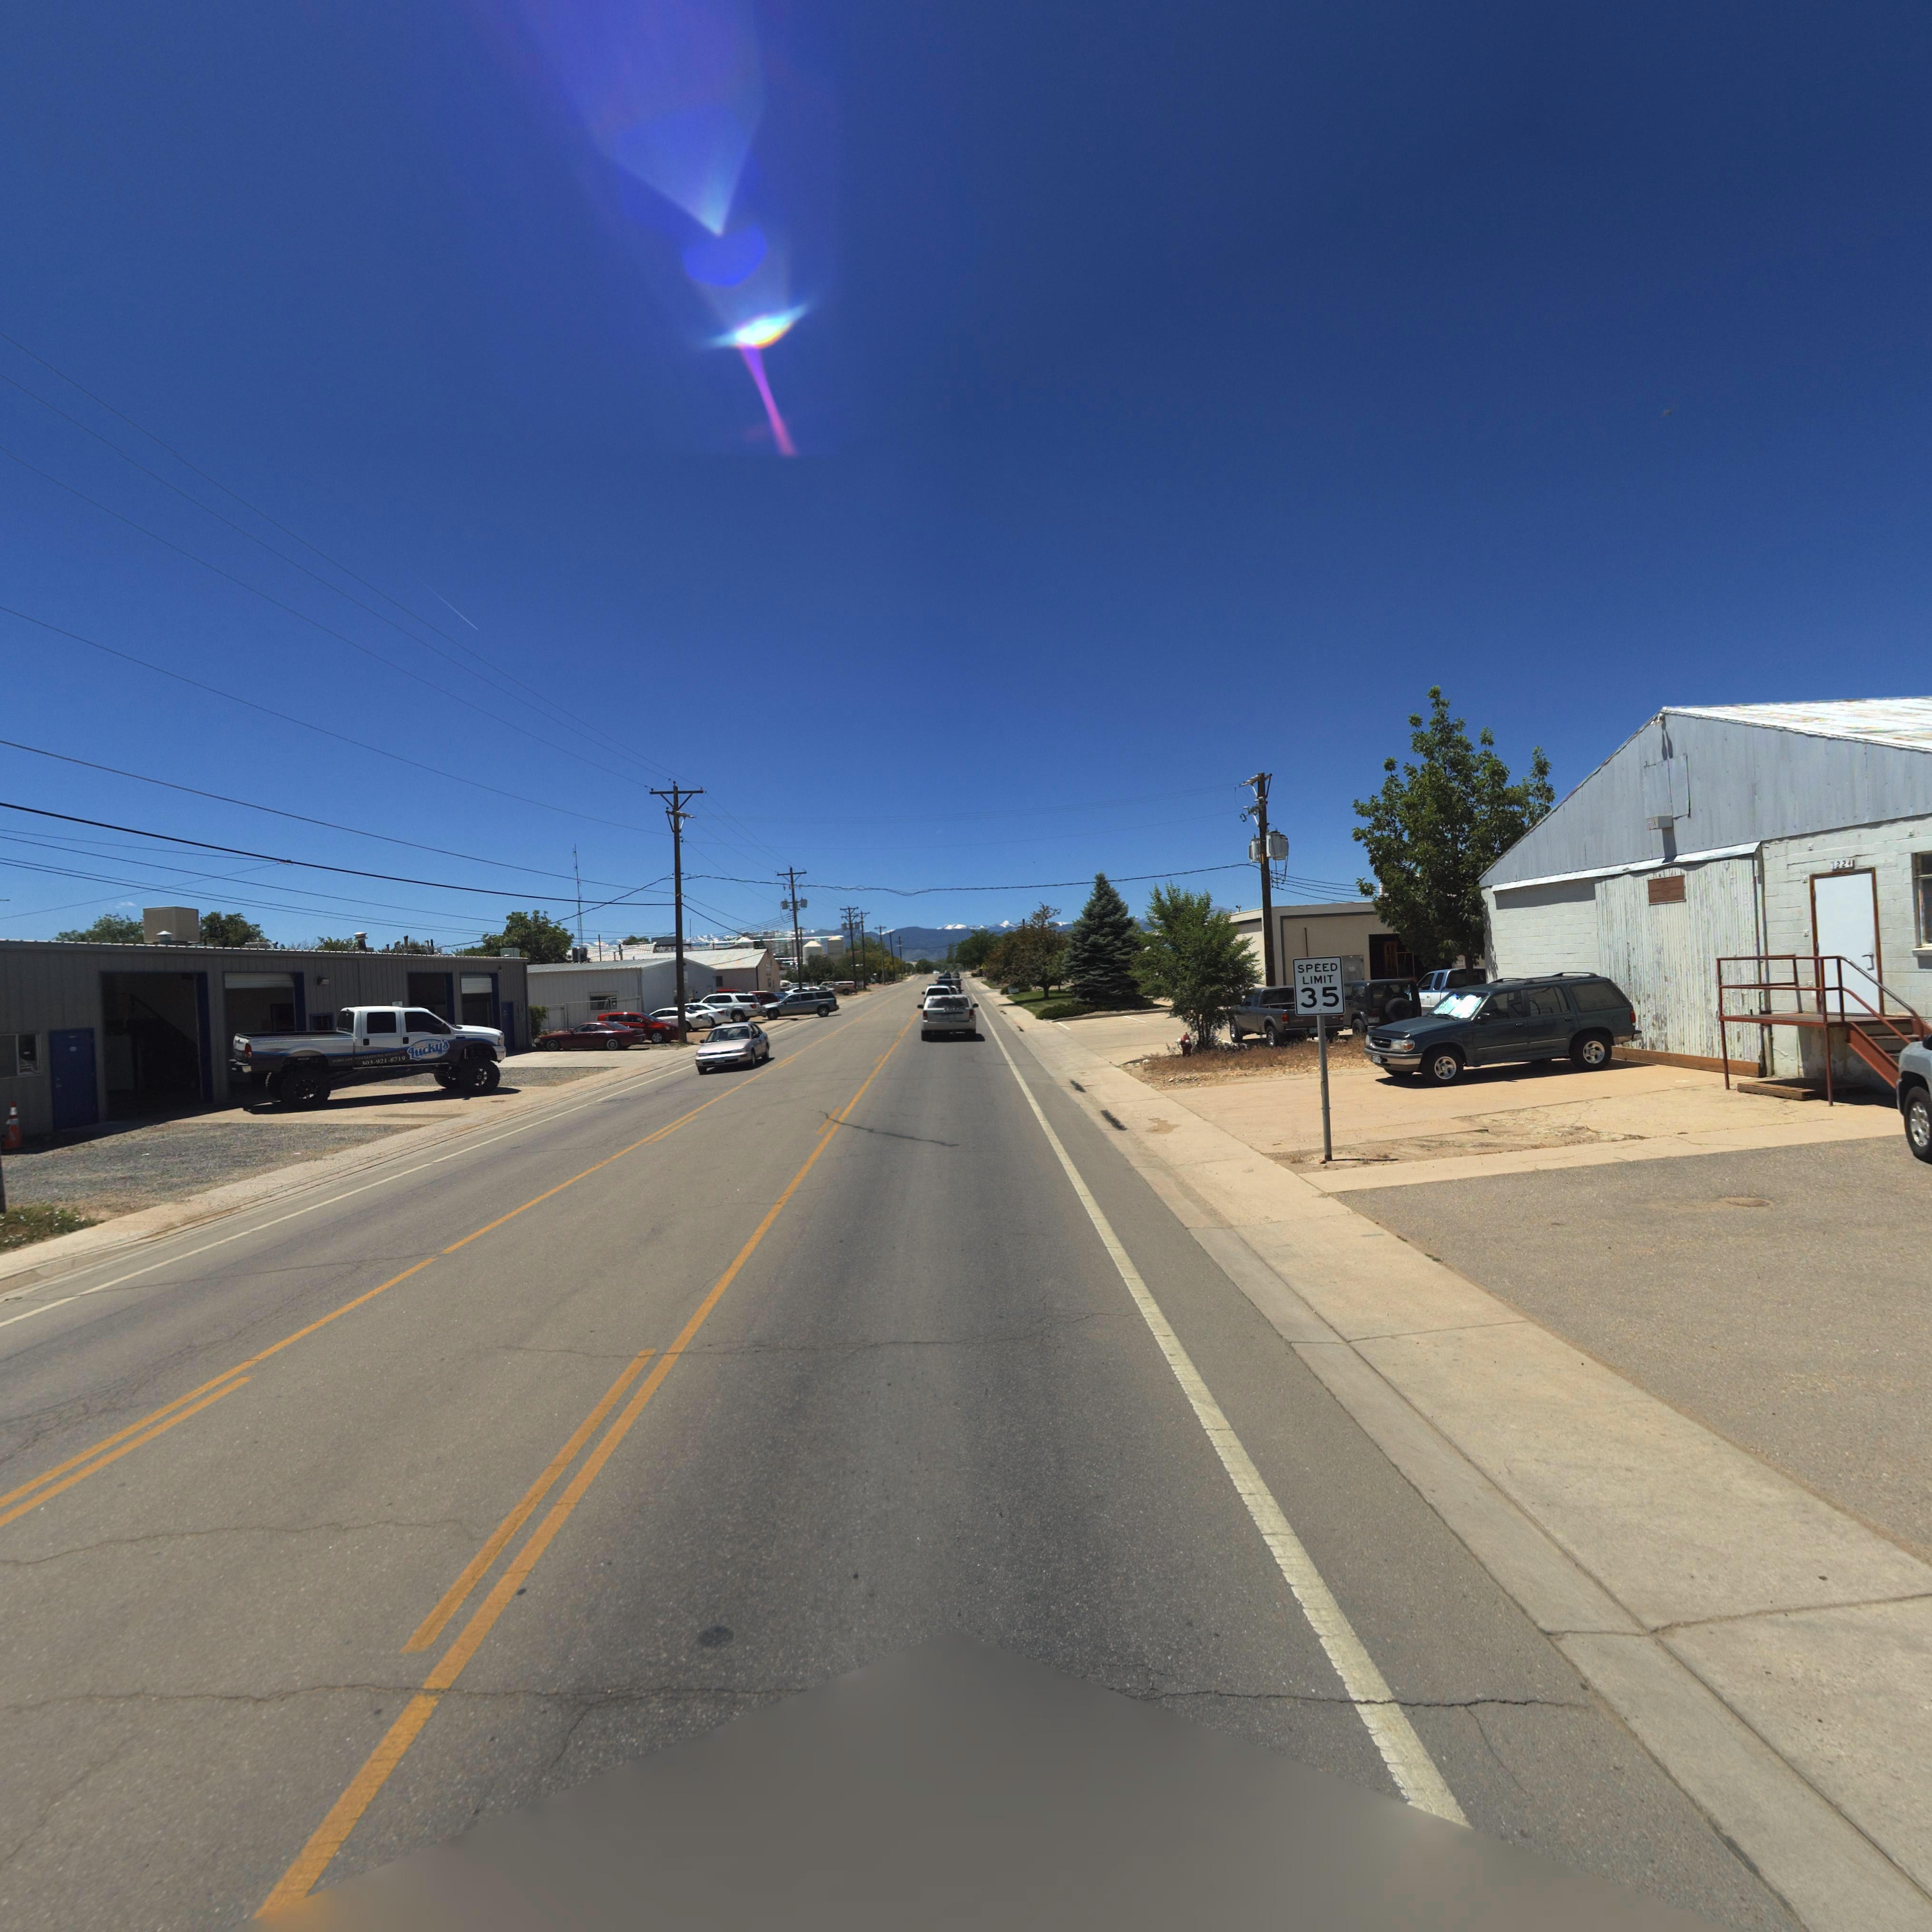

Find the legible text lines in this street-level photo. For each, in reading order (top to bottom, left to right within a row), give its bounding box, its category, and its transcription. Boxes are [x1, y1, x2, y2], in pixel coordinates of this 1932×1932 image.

[1831, 859, 1853, 868] StreetNumber: 1224